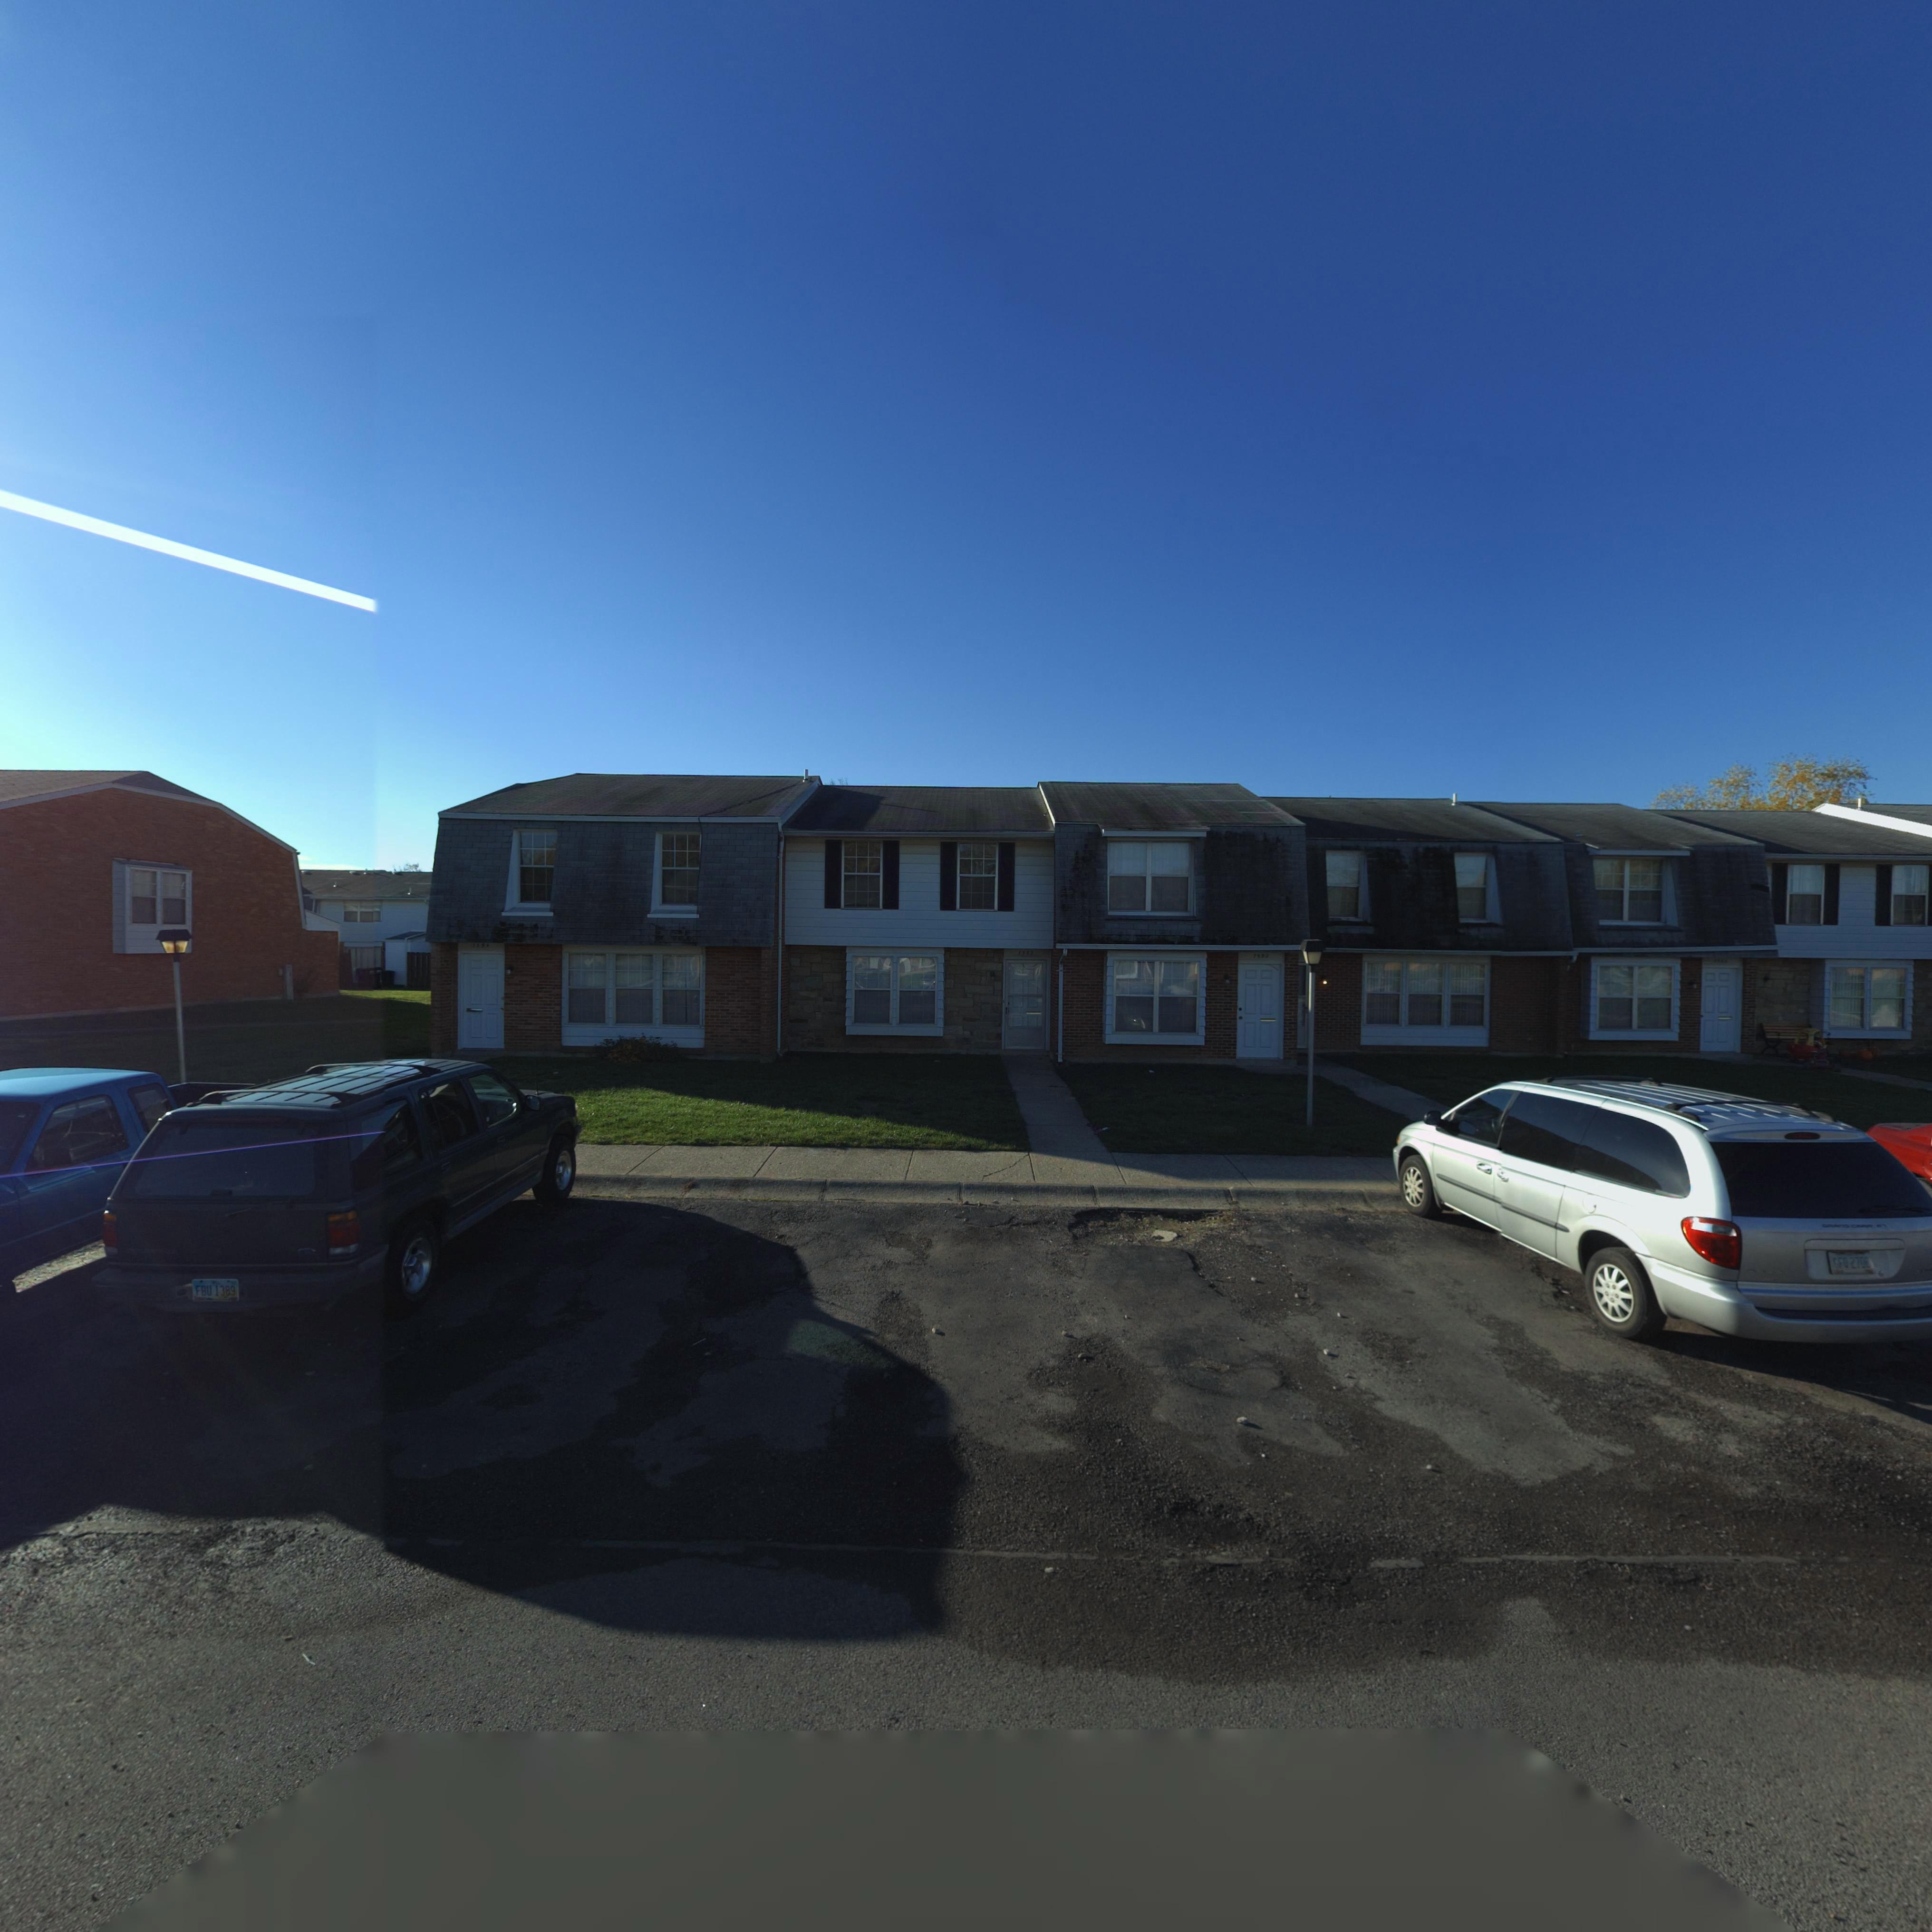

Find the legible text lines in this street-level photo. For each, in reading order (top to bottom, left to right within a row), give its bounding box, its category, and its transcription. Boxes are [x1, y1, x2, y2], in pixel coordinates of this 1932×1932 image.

[471, 943, 490, 948] StreetNumber: 7594
[1017, 950, 1034, 956] StreetNumber: 7592
[1252, 953, 1269, 959] StreetNumber: 7590
[1713, 958, 1729, 964] StreetNumber: 75**